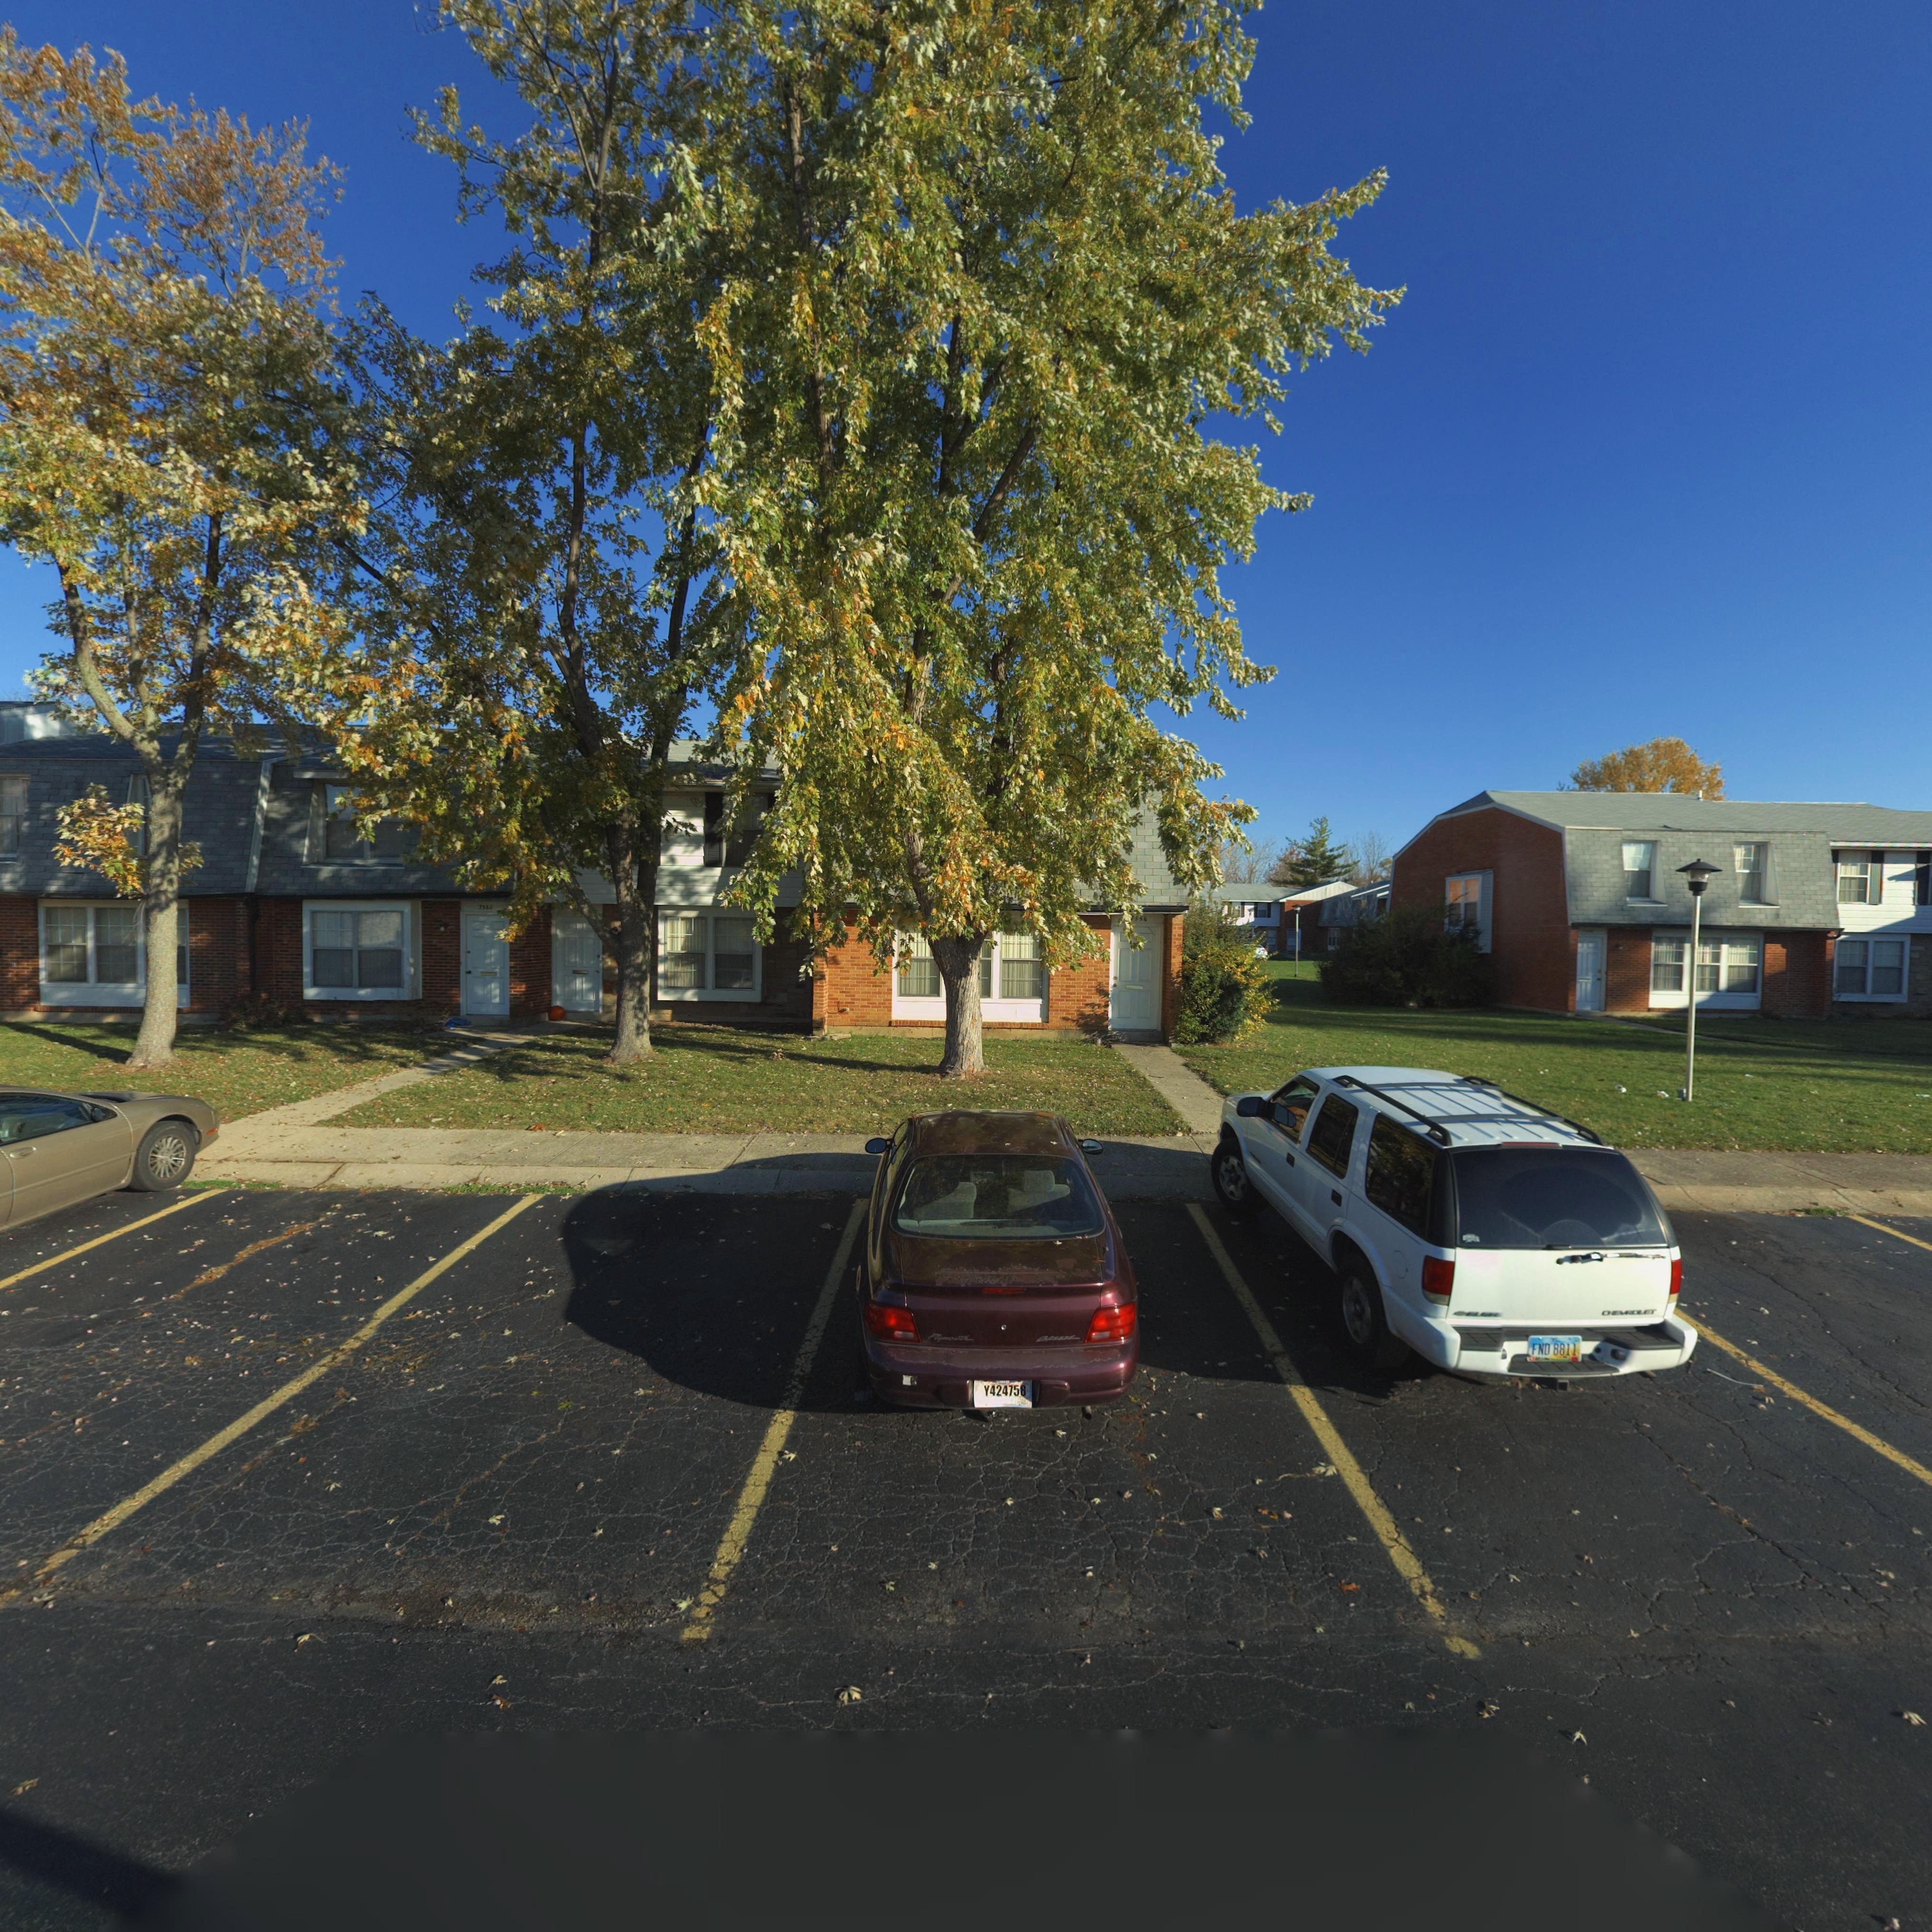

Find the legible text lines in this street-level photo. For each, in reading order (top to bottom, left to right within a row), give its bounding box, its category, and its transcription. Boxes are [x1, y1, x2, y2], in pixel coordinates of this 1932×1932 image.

[478, 904, 494, 911] StreetNumber: 7560
[1134, 915, 1148, 923] StreetNumber: *56